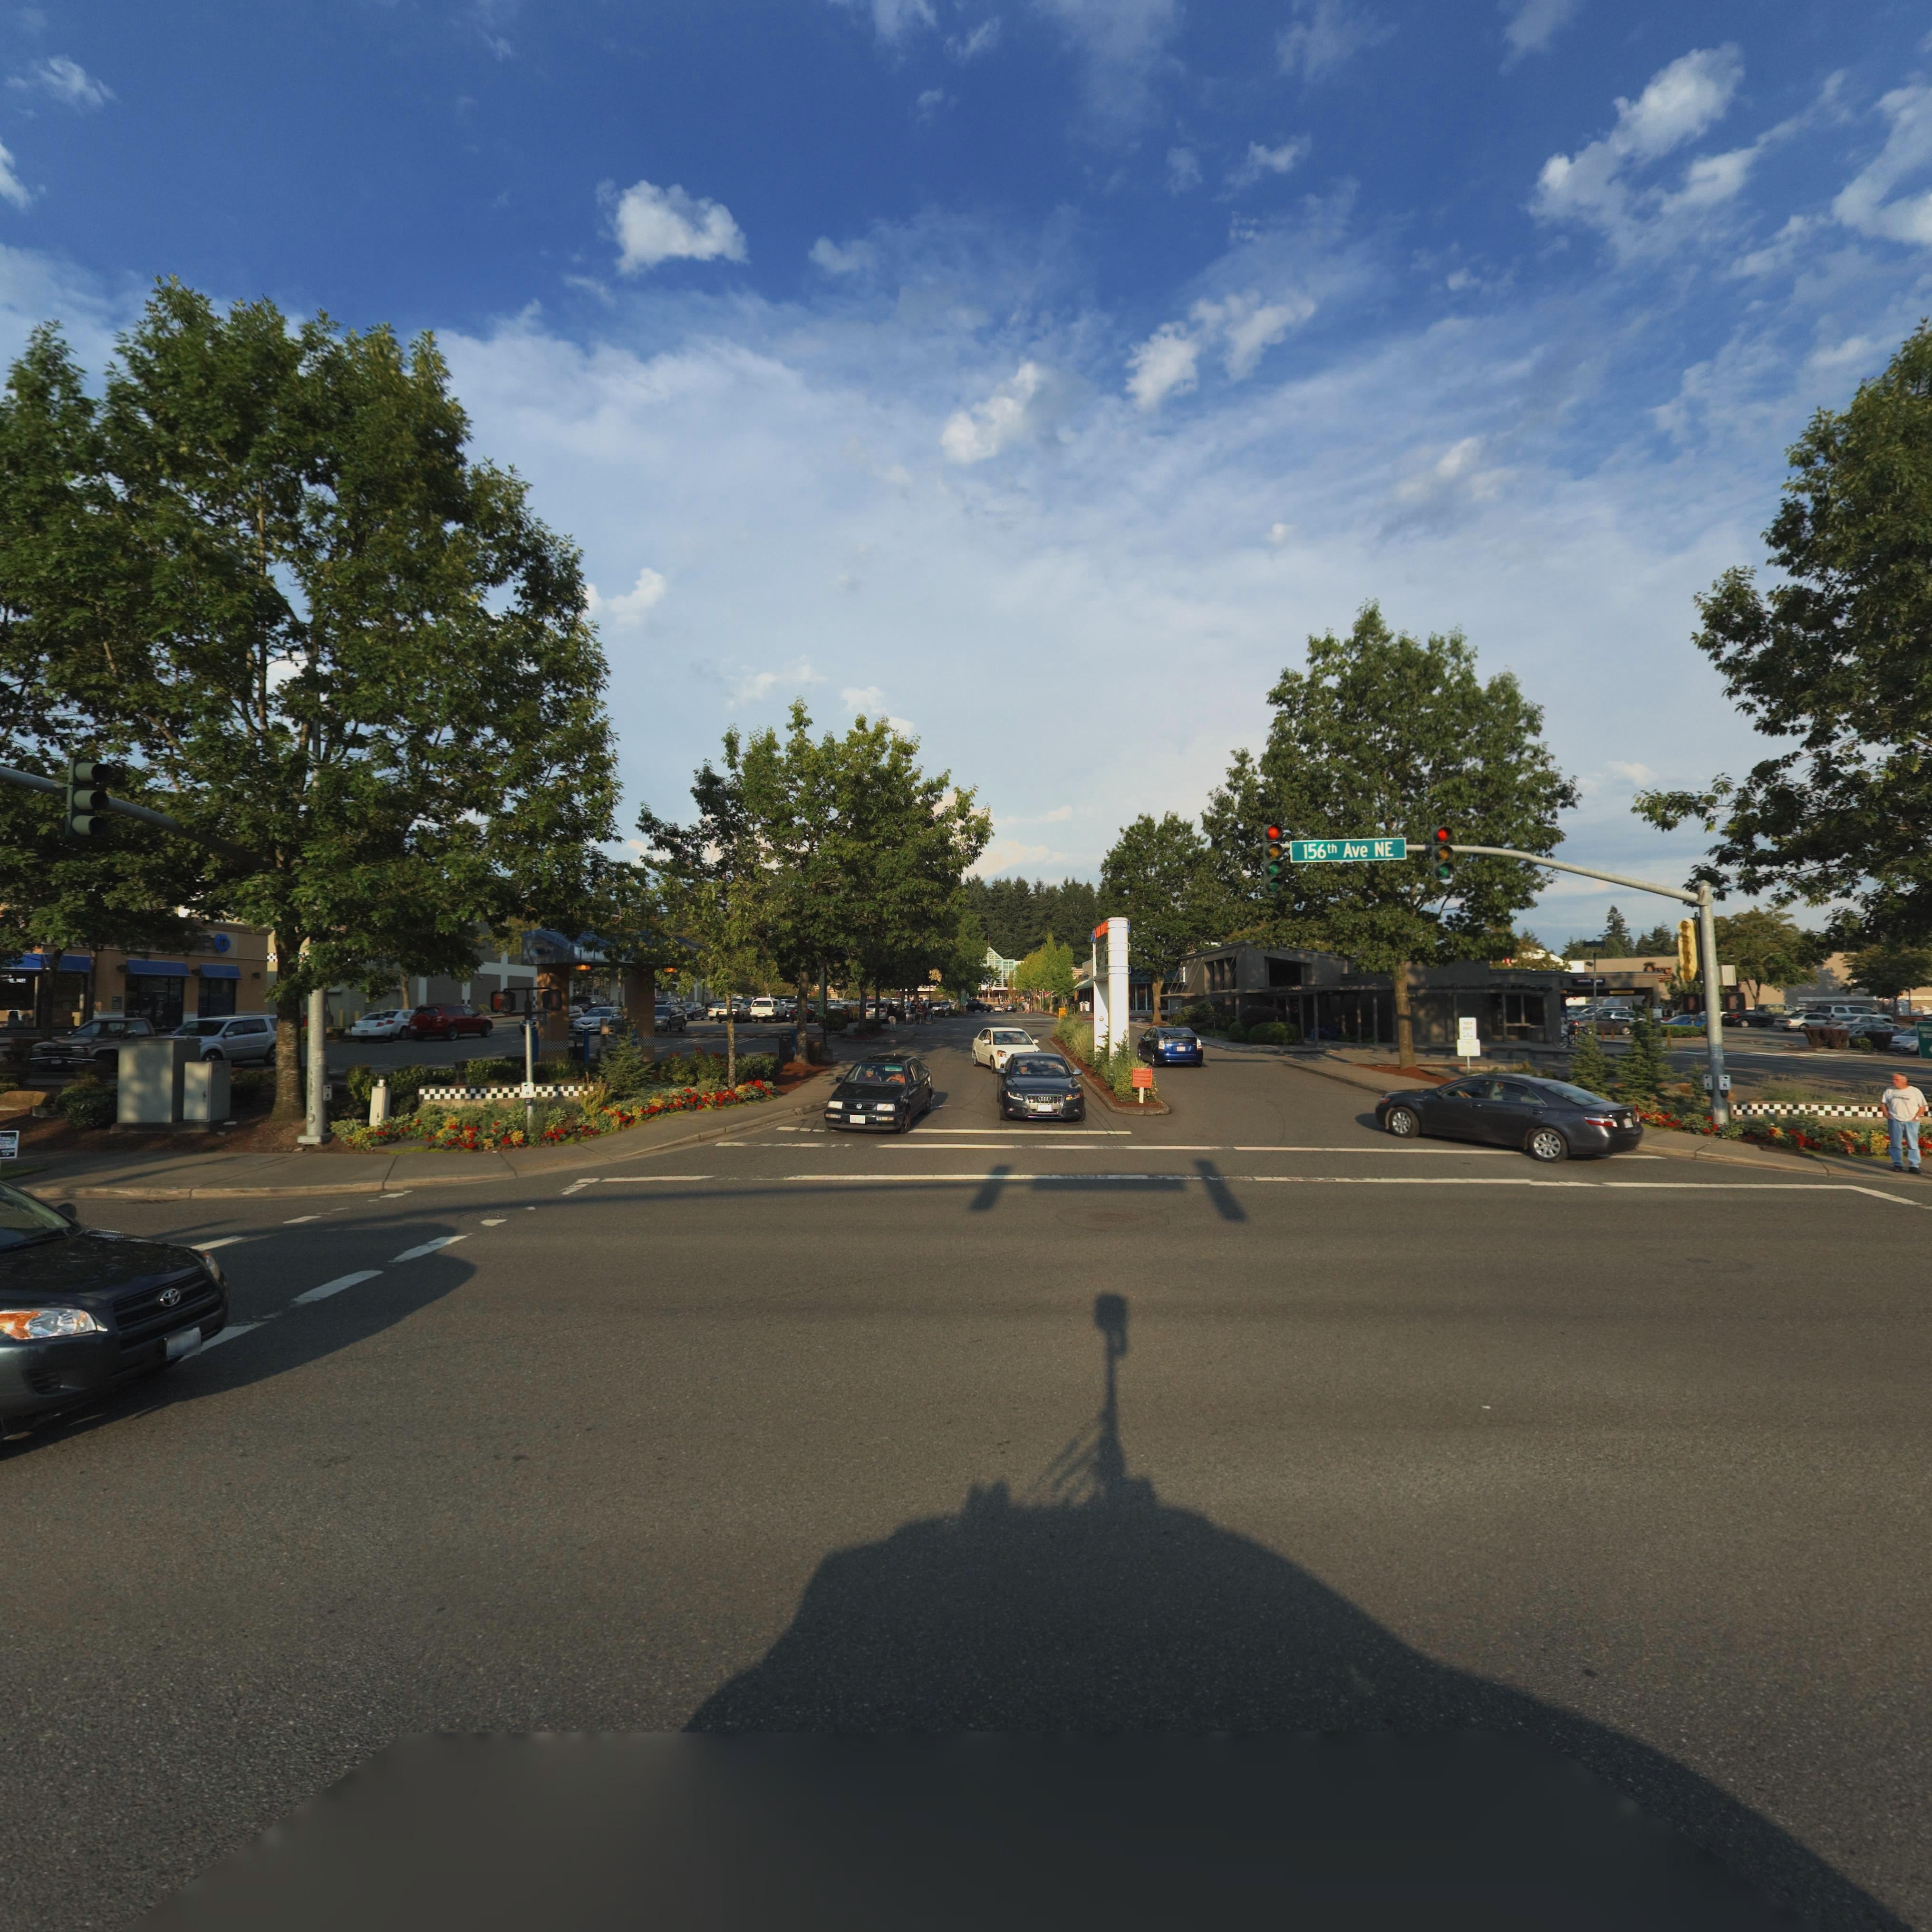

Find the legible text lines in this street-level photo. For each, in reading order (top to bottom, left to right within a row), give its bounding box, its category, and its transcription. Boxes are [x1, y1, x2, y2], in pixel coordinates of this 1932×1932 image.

[1303, 841, 1393, 859] StreetName: 156th Ave NE